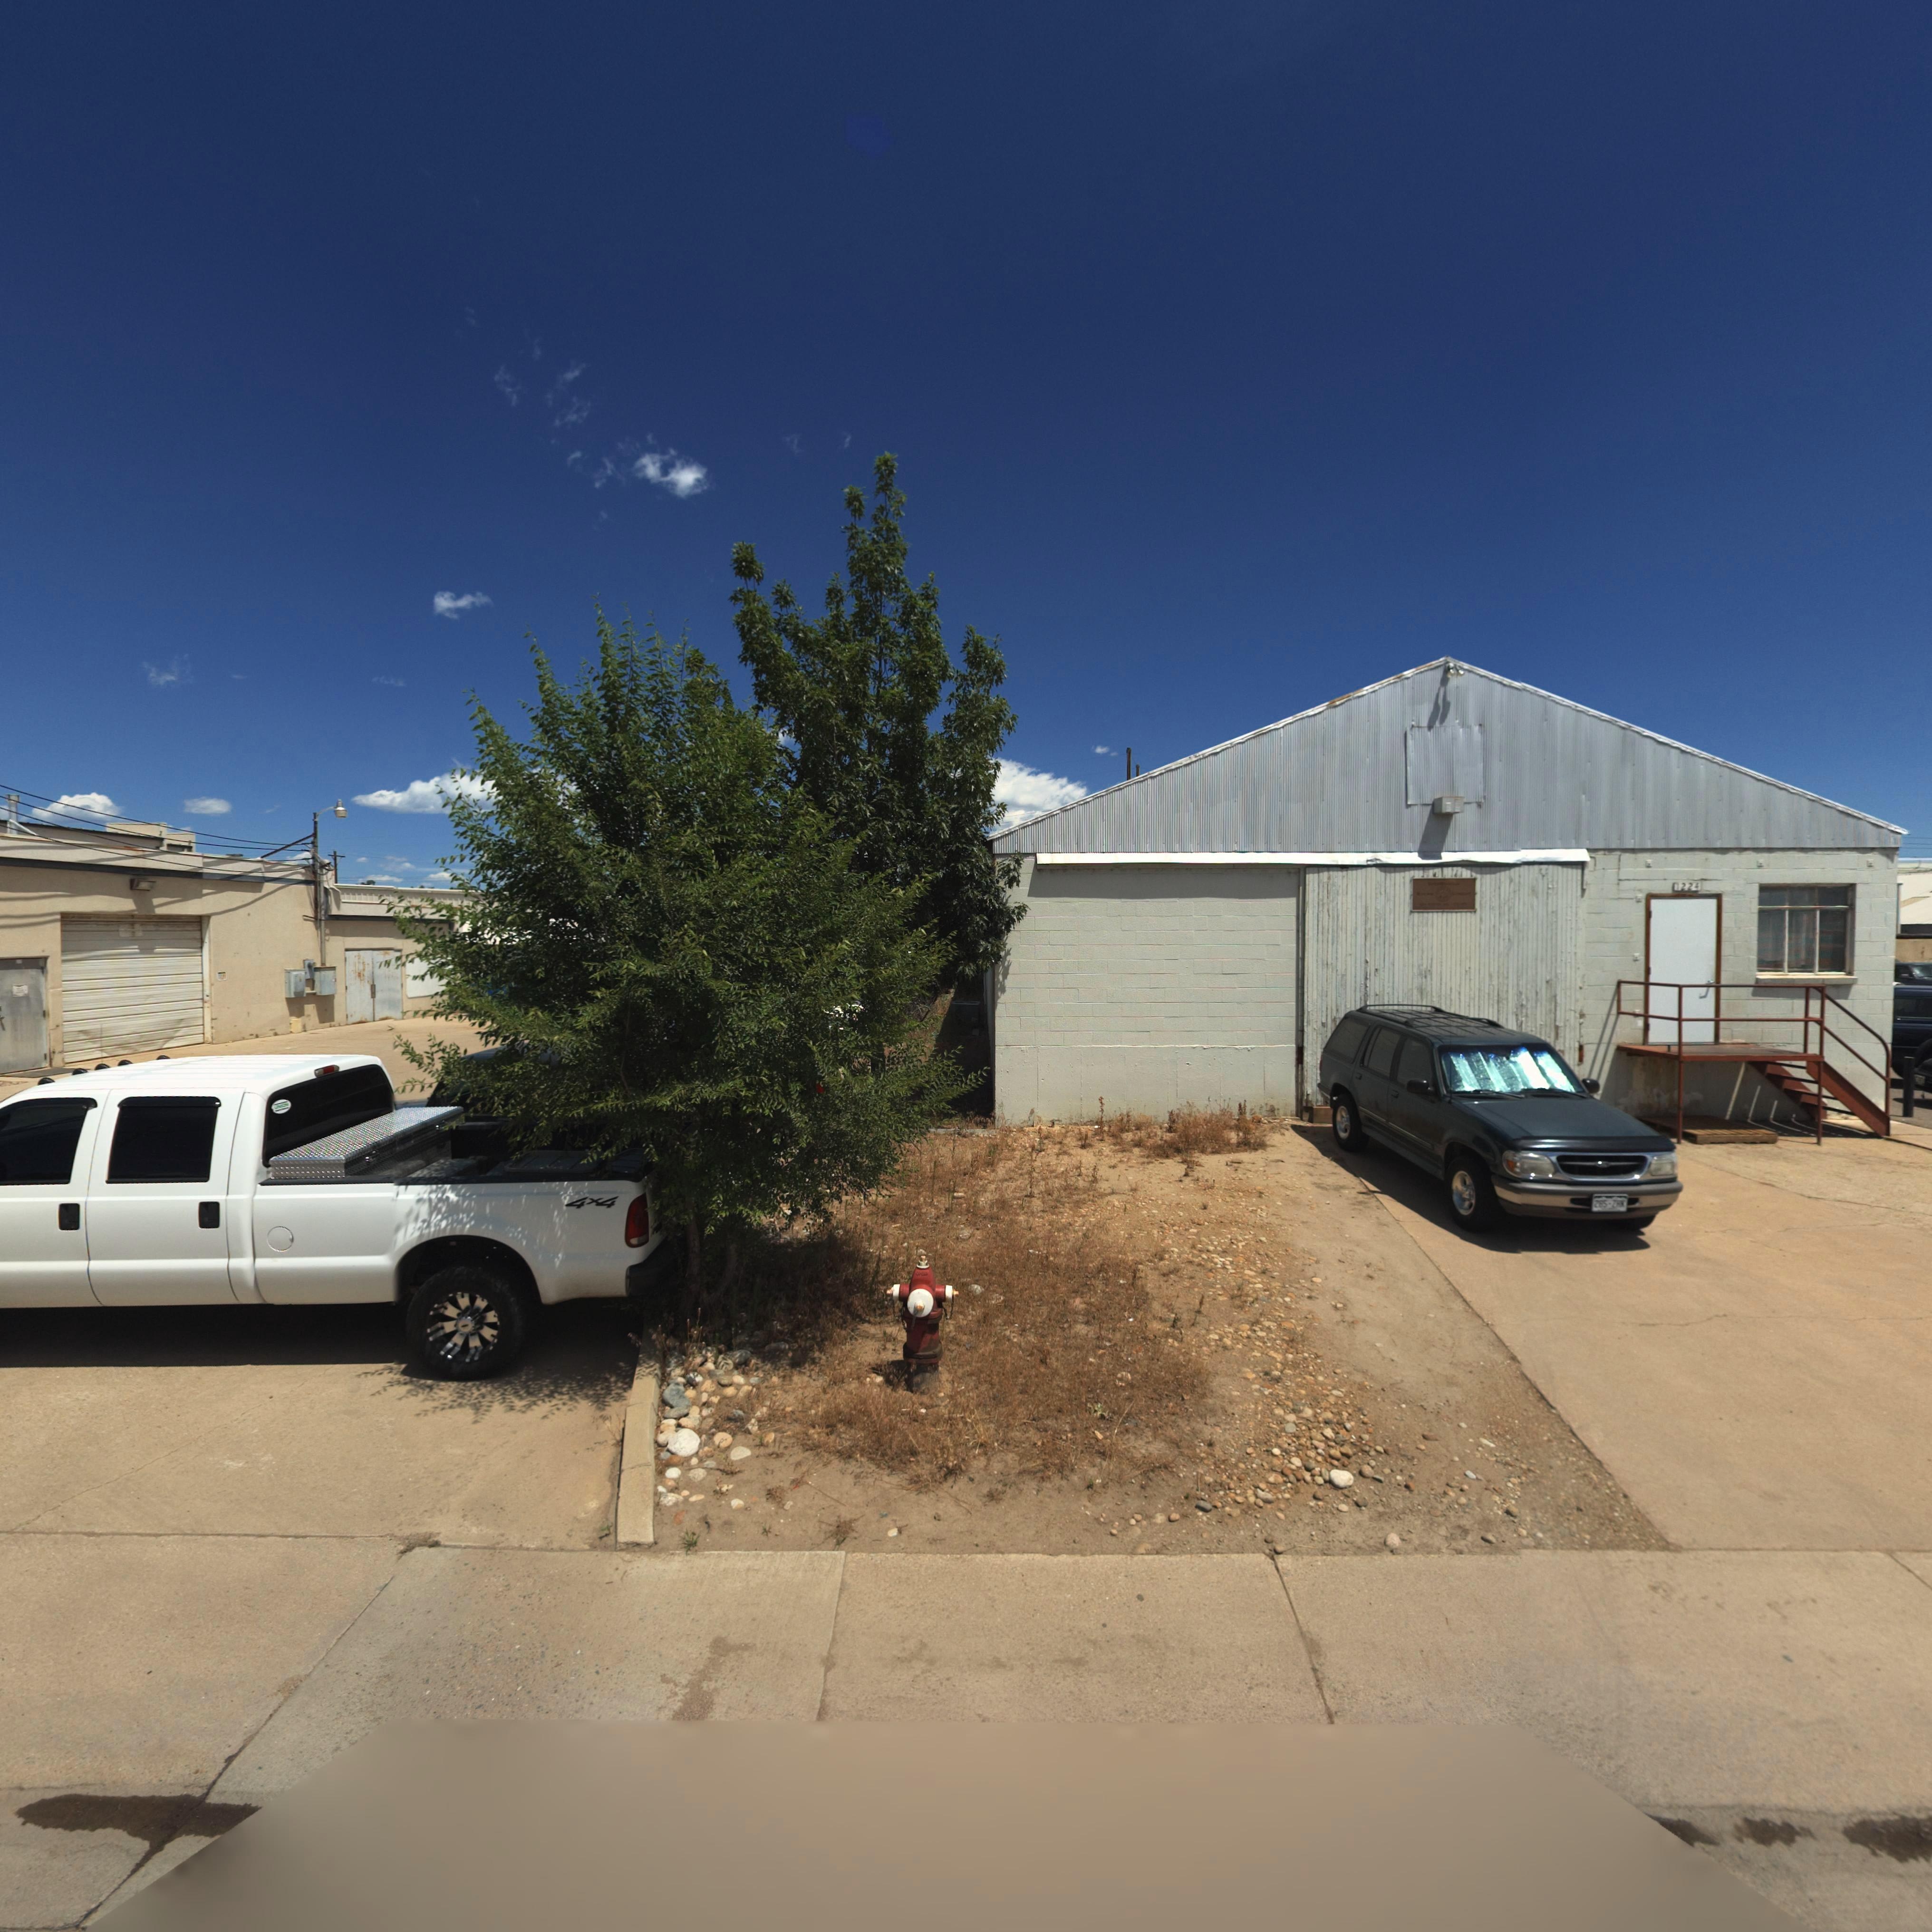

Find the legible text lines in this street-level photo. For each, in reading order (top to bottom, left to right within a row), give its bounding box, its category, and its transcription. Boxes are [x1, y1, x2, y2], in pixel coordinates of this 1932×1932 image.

[1674, 881, 1700, 891] StreetNumber: 1224